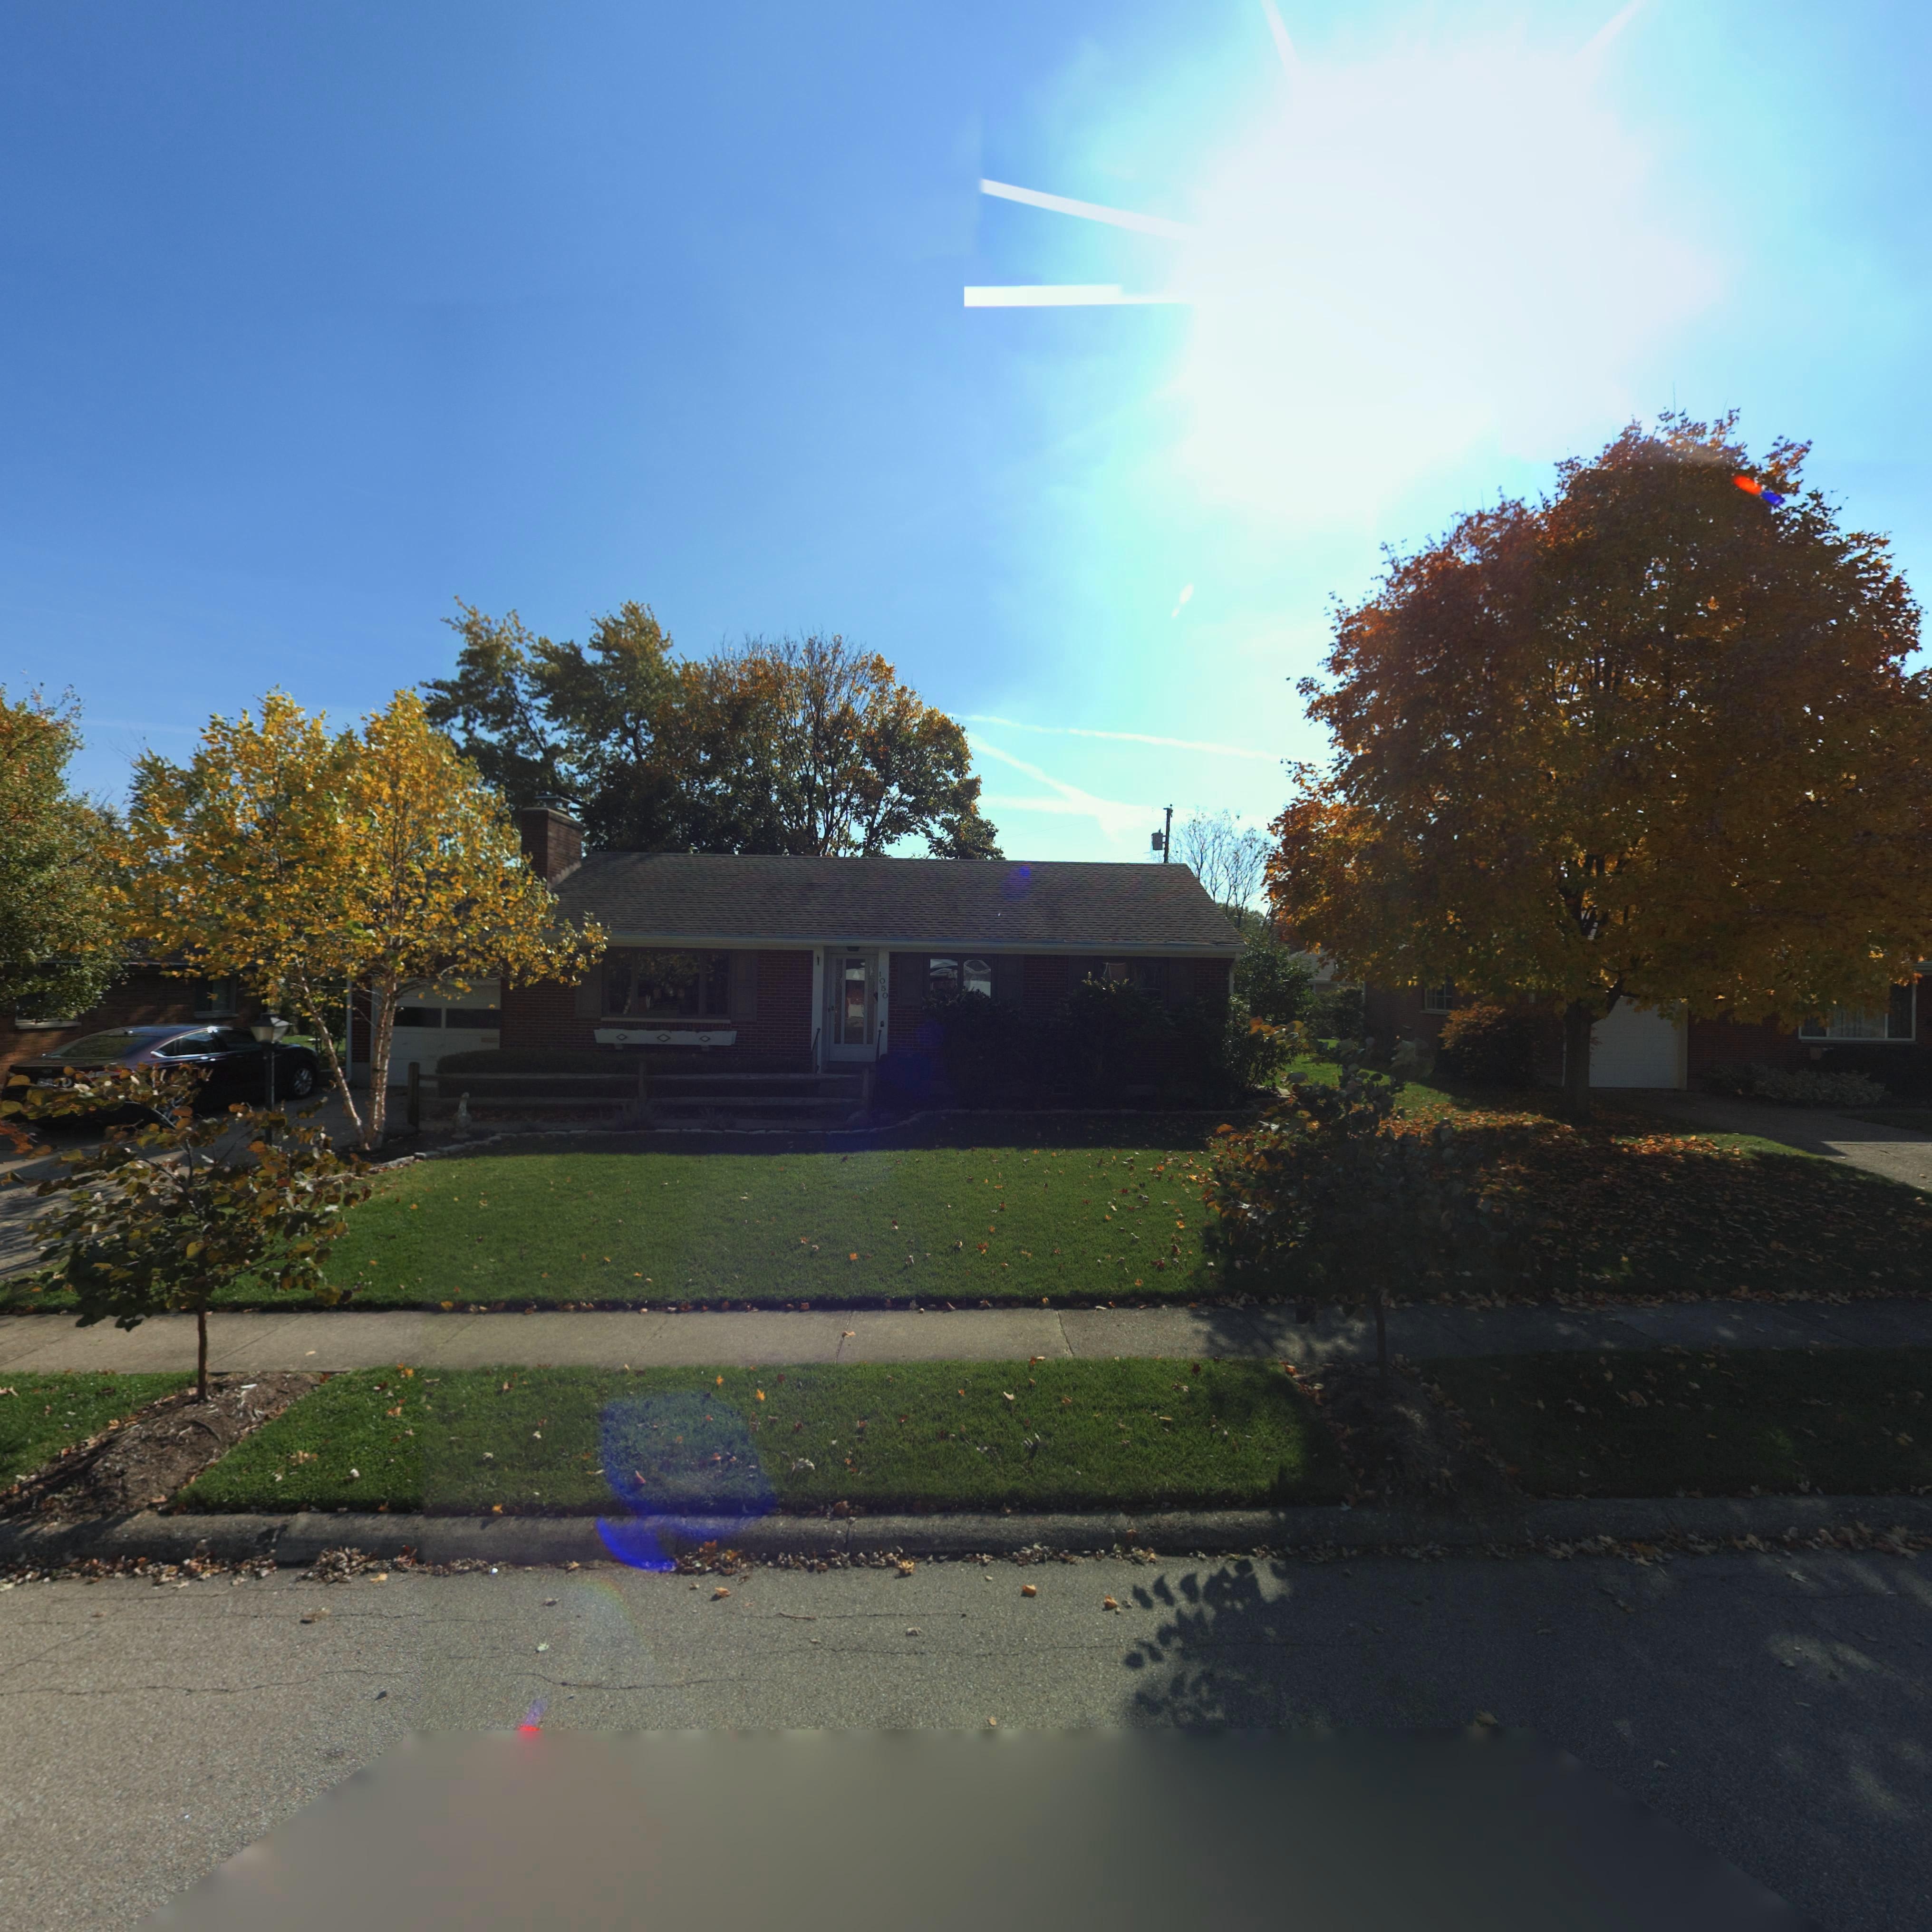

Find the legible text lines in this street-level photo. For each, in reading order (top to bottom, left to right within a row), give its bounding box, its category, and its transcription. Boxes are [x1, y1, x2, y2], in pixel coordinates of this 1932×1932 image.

[879, 970, 889, 999] StreetNumber: 1050